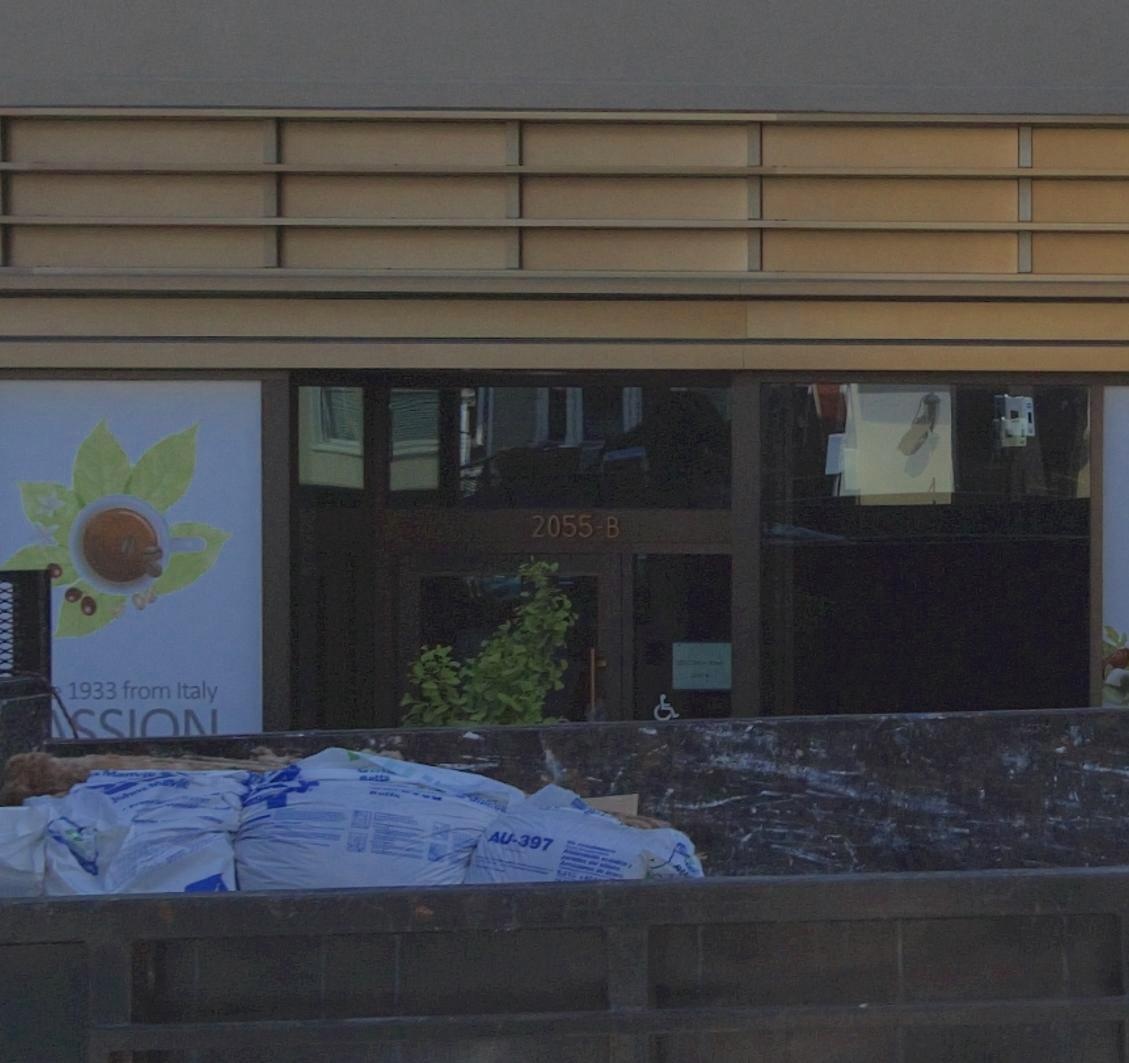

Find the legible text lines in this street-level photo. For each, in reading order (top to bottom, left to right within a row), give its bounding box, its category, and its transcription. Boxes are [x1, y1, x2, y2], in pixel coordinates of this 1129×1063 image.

[531, 514, 621, 539] StreetNumber: 2055-B
[68, 679, 219, 704] None: 1933 from Italy
[485, 830, 557, 852] None: AU-397